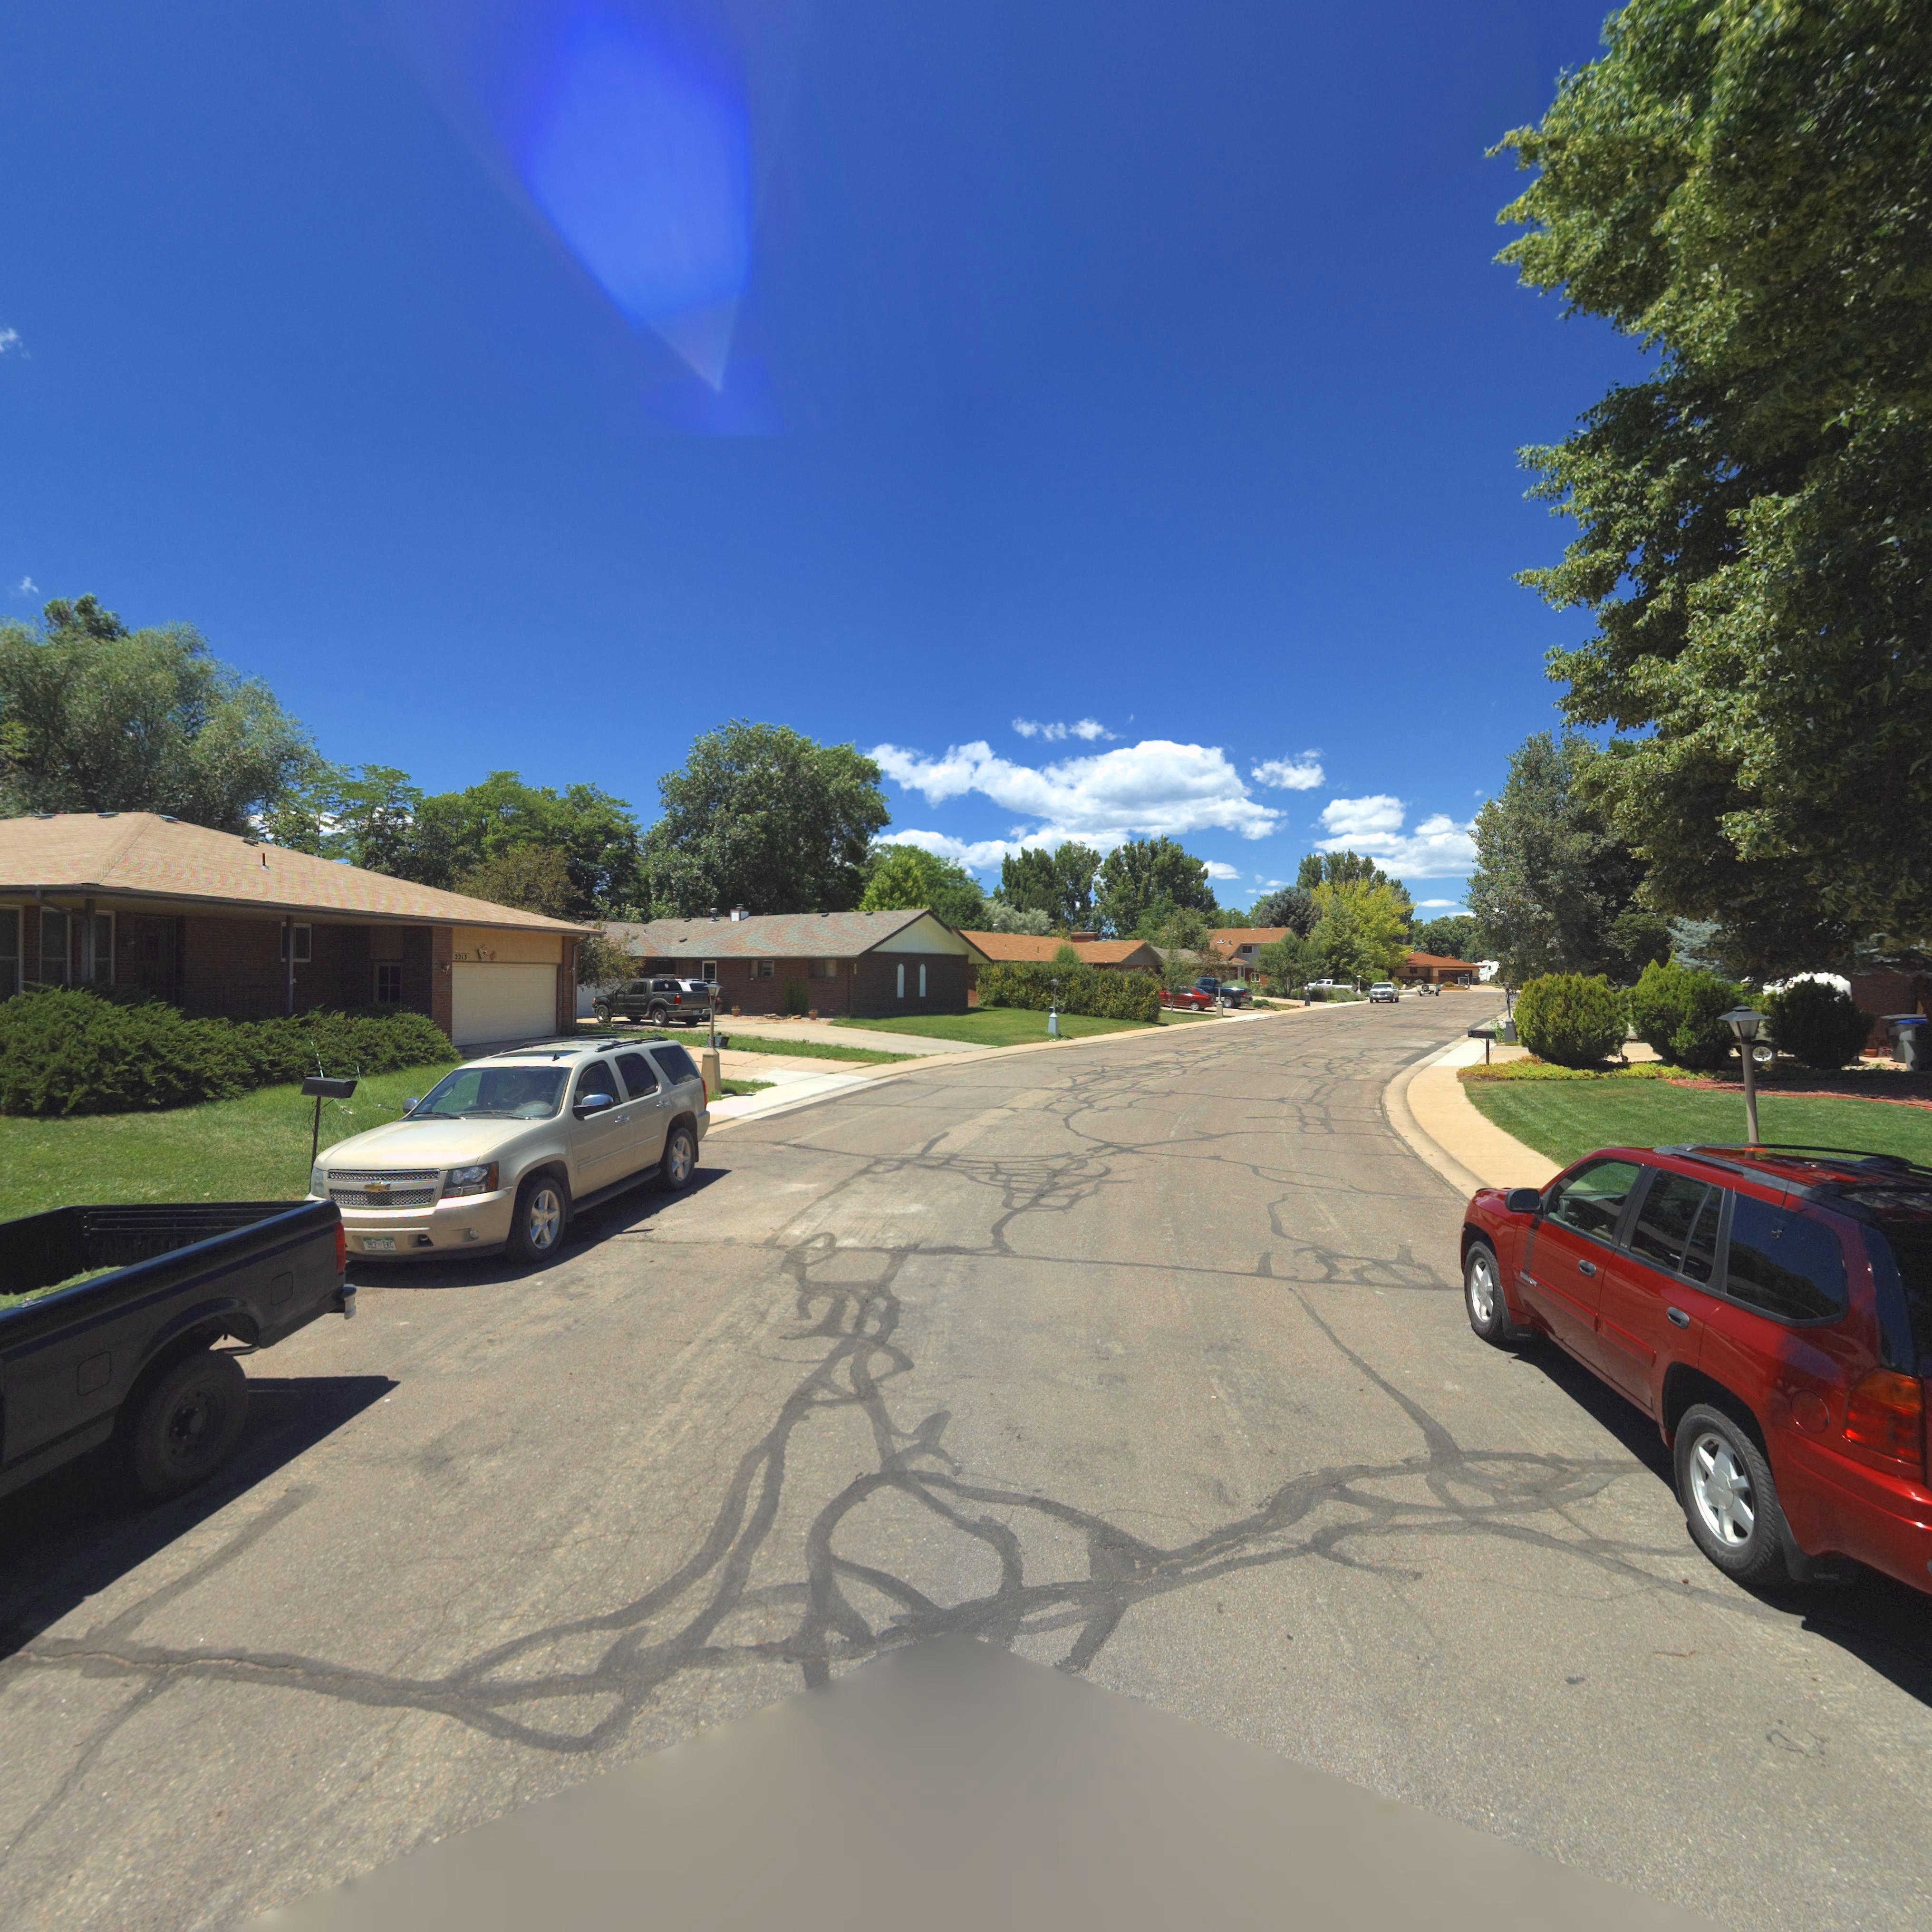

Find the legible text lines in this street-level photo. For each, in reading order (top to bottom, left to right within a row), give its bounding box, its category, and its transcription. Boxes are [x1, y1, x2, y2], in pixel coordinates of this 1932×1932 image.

[454, 954, 467, 960] StreetNumber: 2213